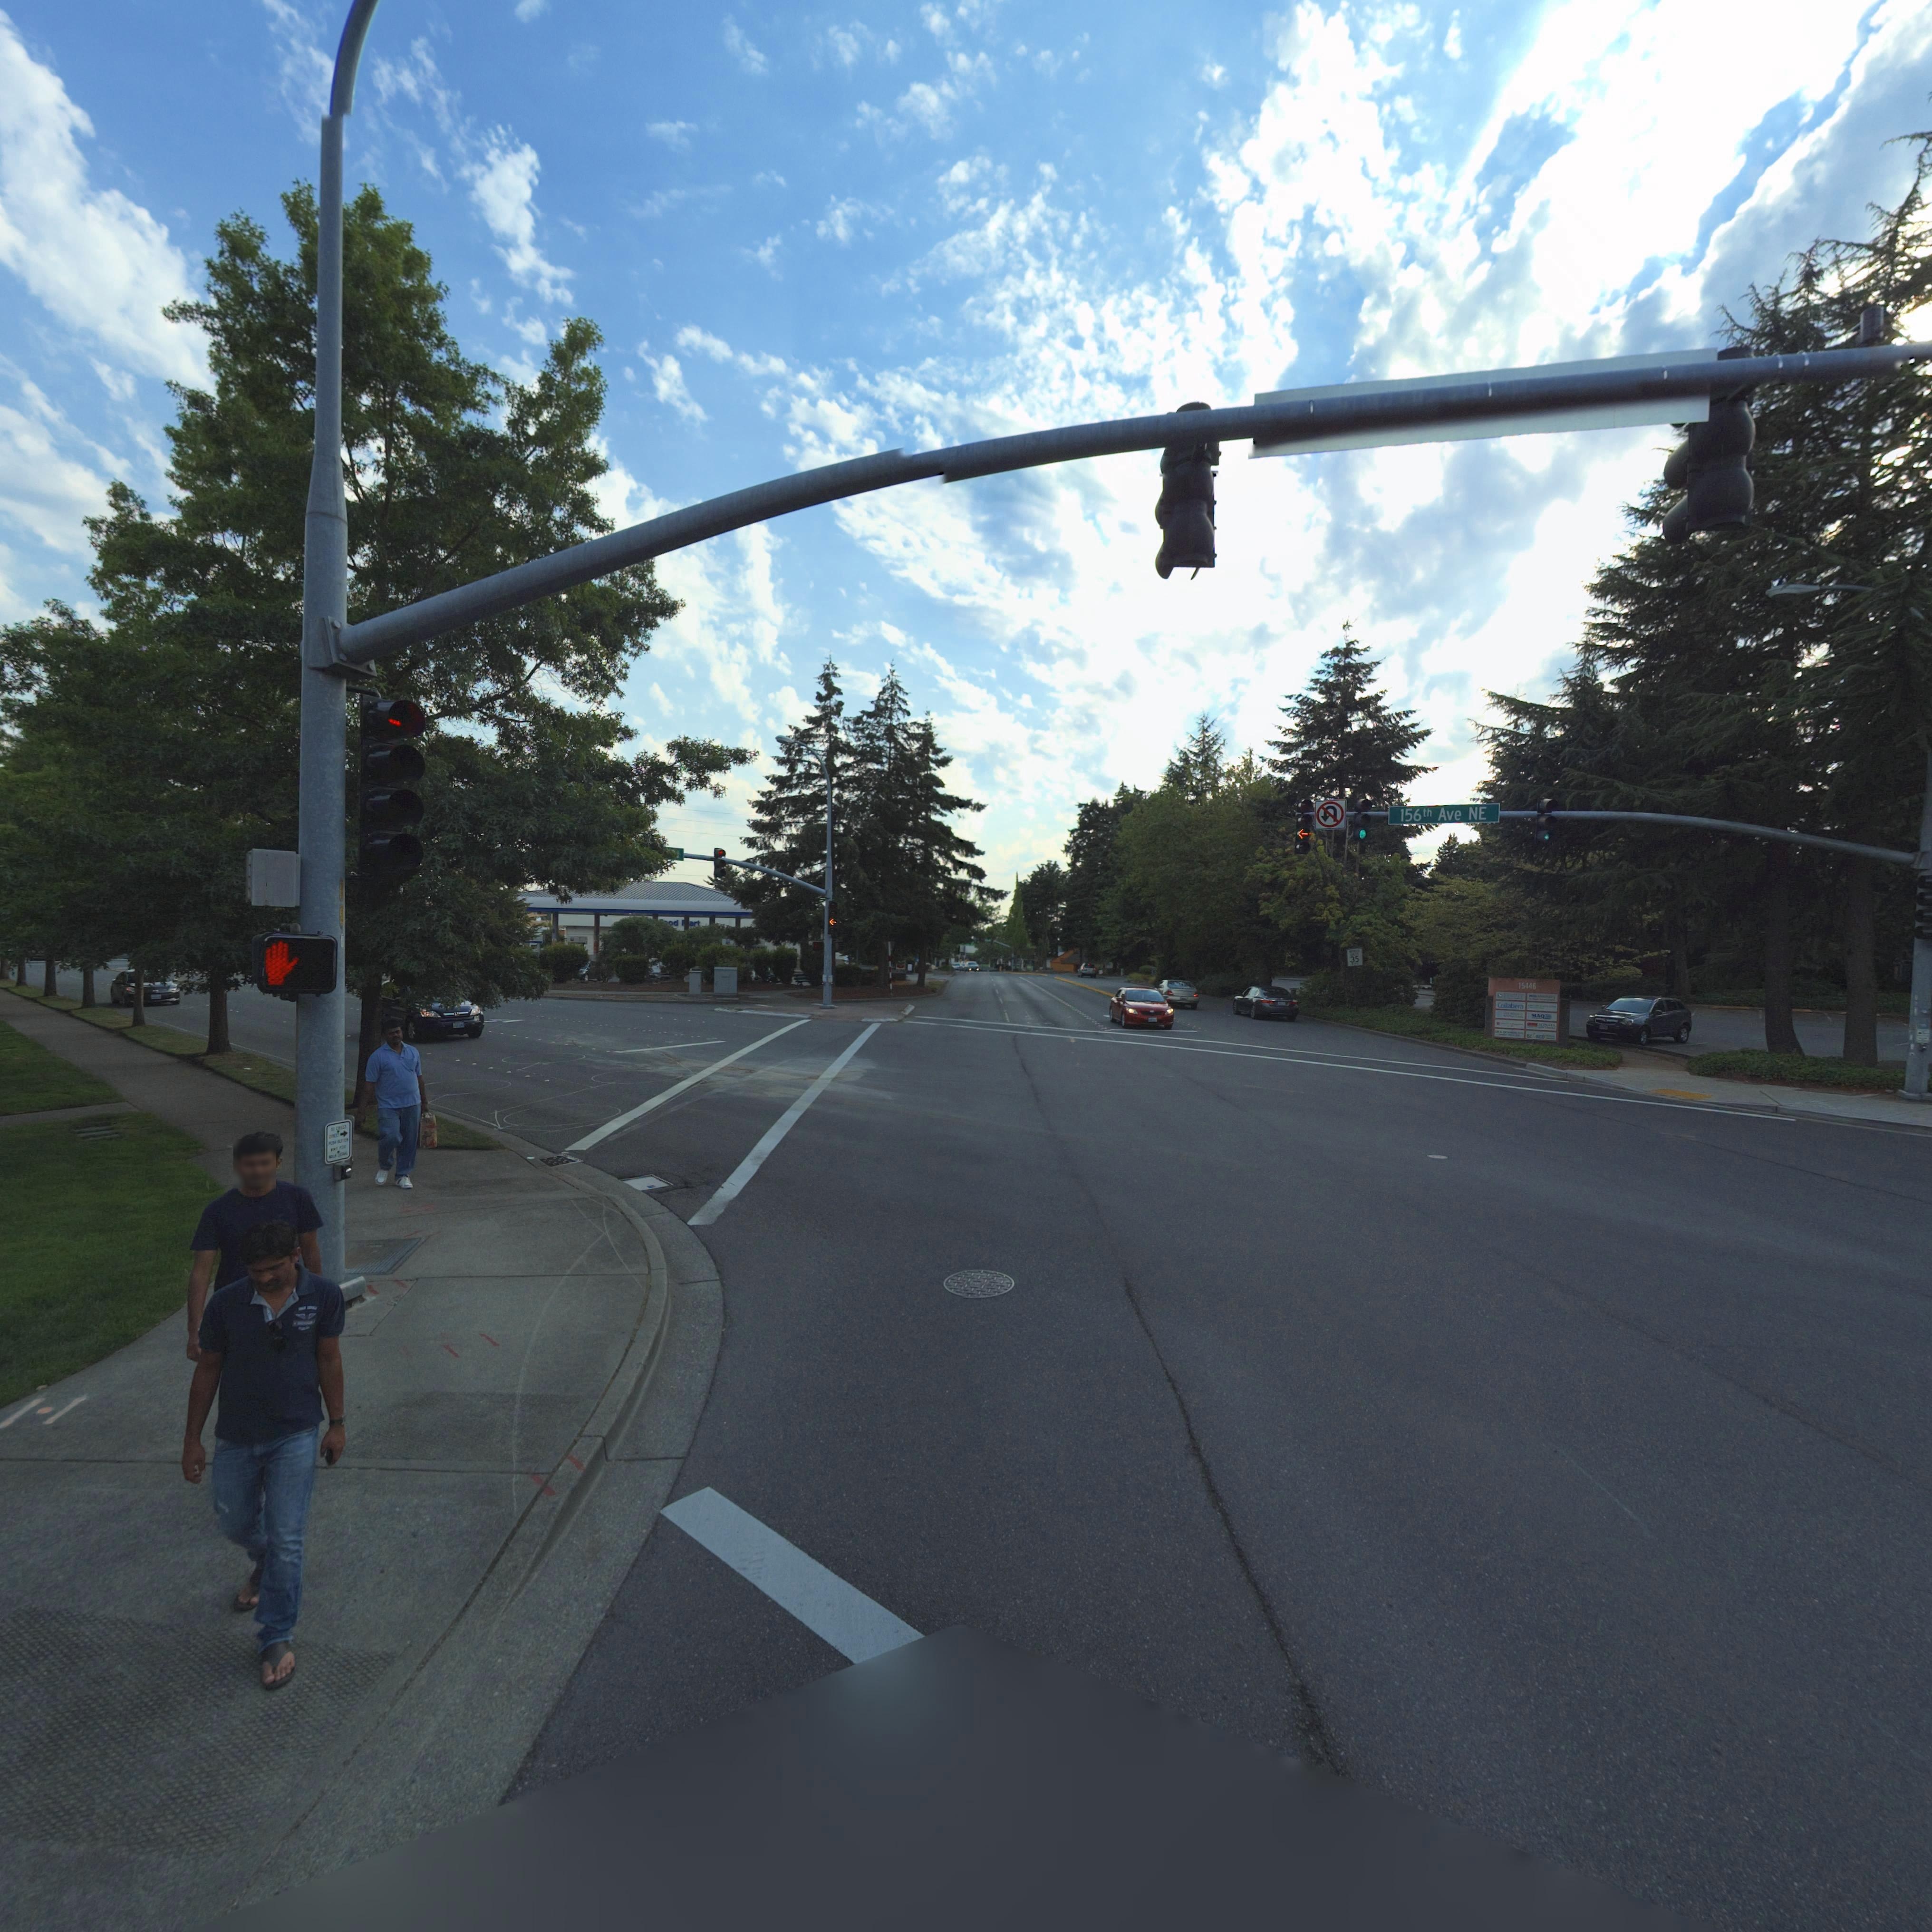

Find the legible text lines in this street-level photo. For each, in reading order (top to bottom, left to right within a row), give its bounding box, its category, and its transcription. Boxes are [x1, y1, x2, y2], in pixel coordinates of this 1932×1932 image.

[1397, 806, 1490, 822] StreetName: 156** Ave NE